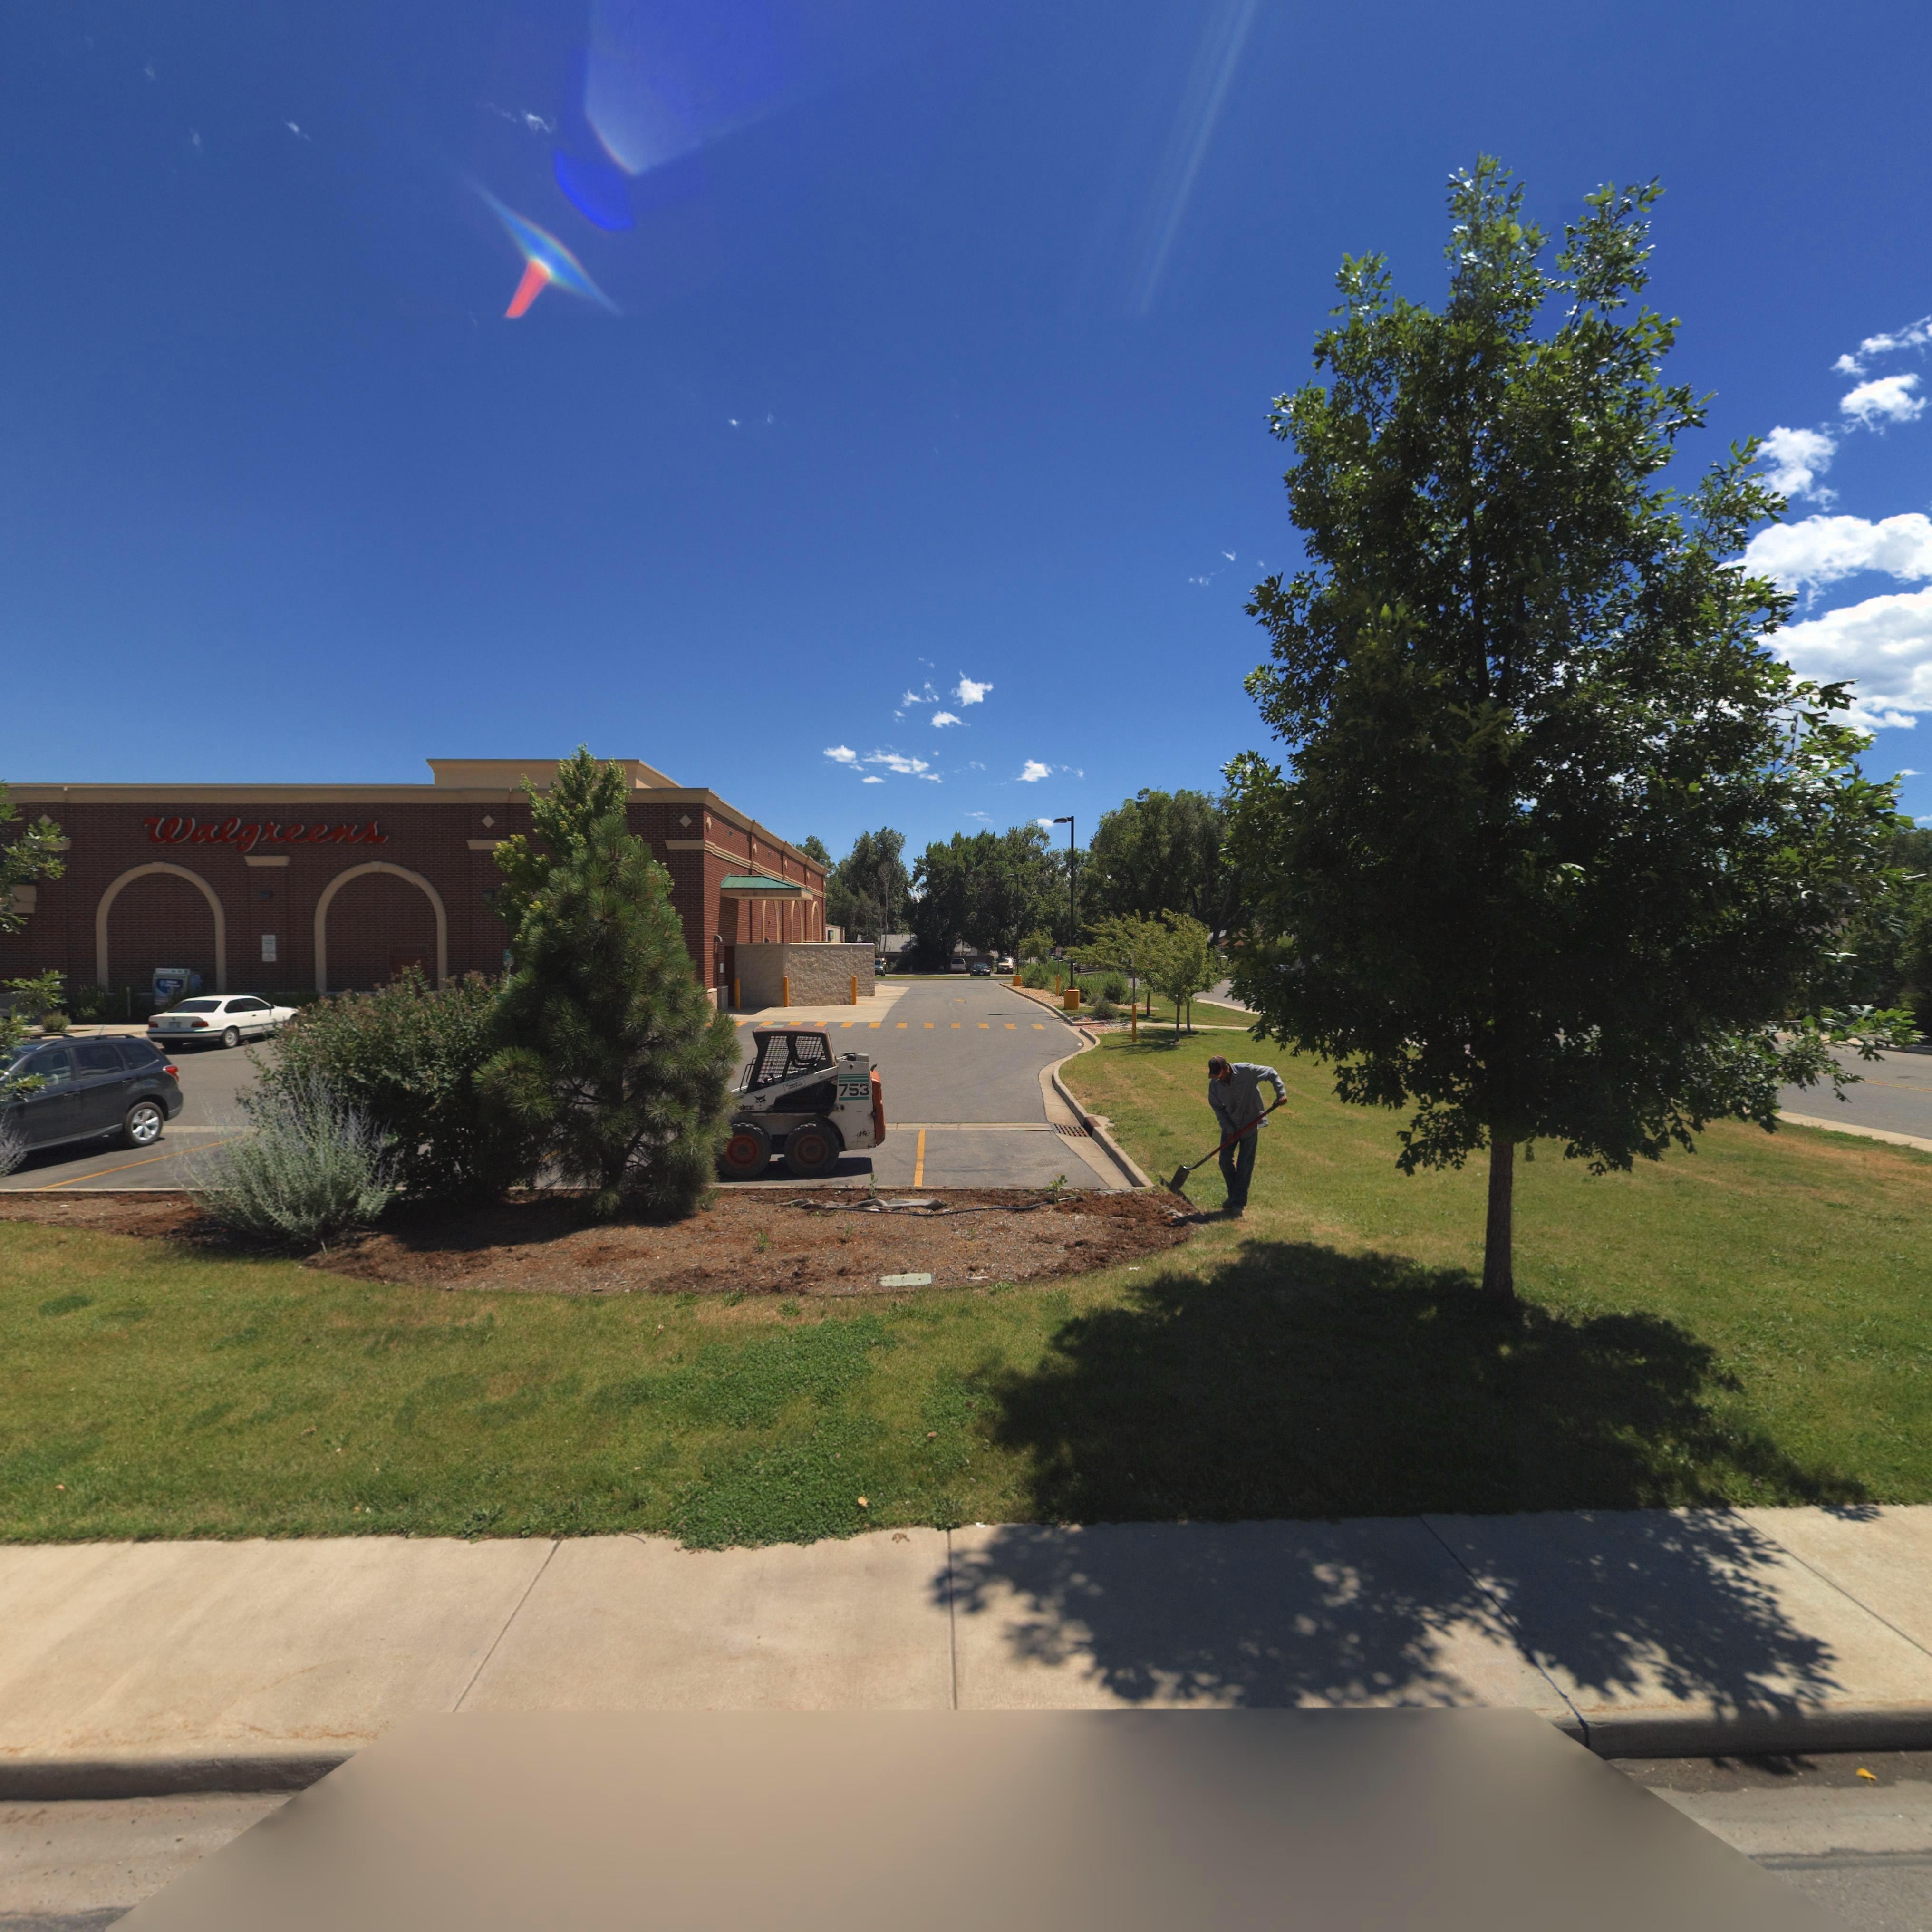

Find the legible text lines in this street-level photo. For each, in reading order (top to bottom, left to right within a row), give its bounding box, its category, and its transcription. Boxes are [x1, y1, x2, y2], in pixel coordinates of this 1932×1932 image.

[141, 814, 390, 853] BusinessName: Walgreens